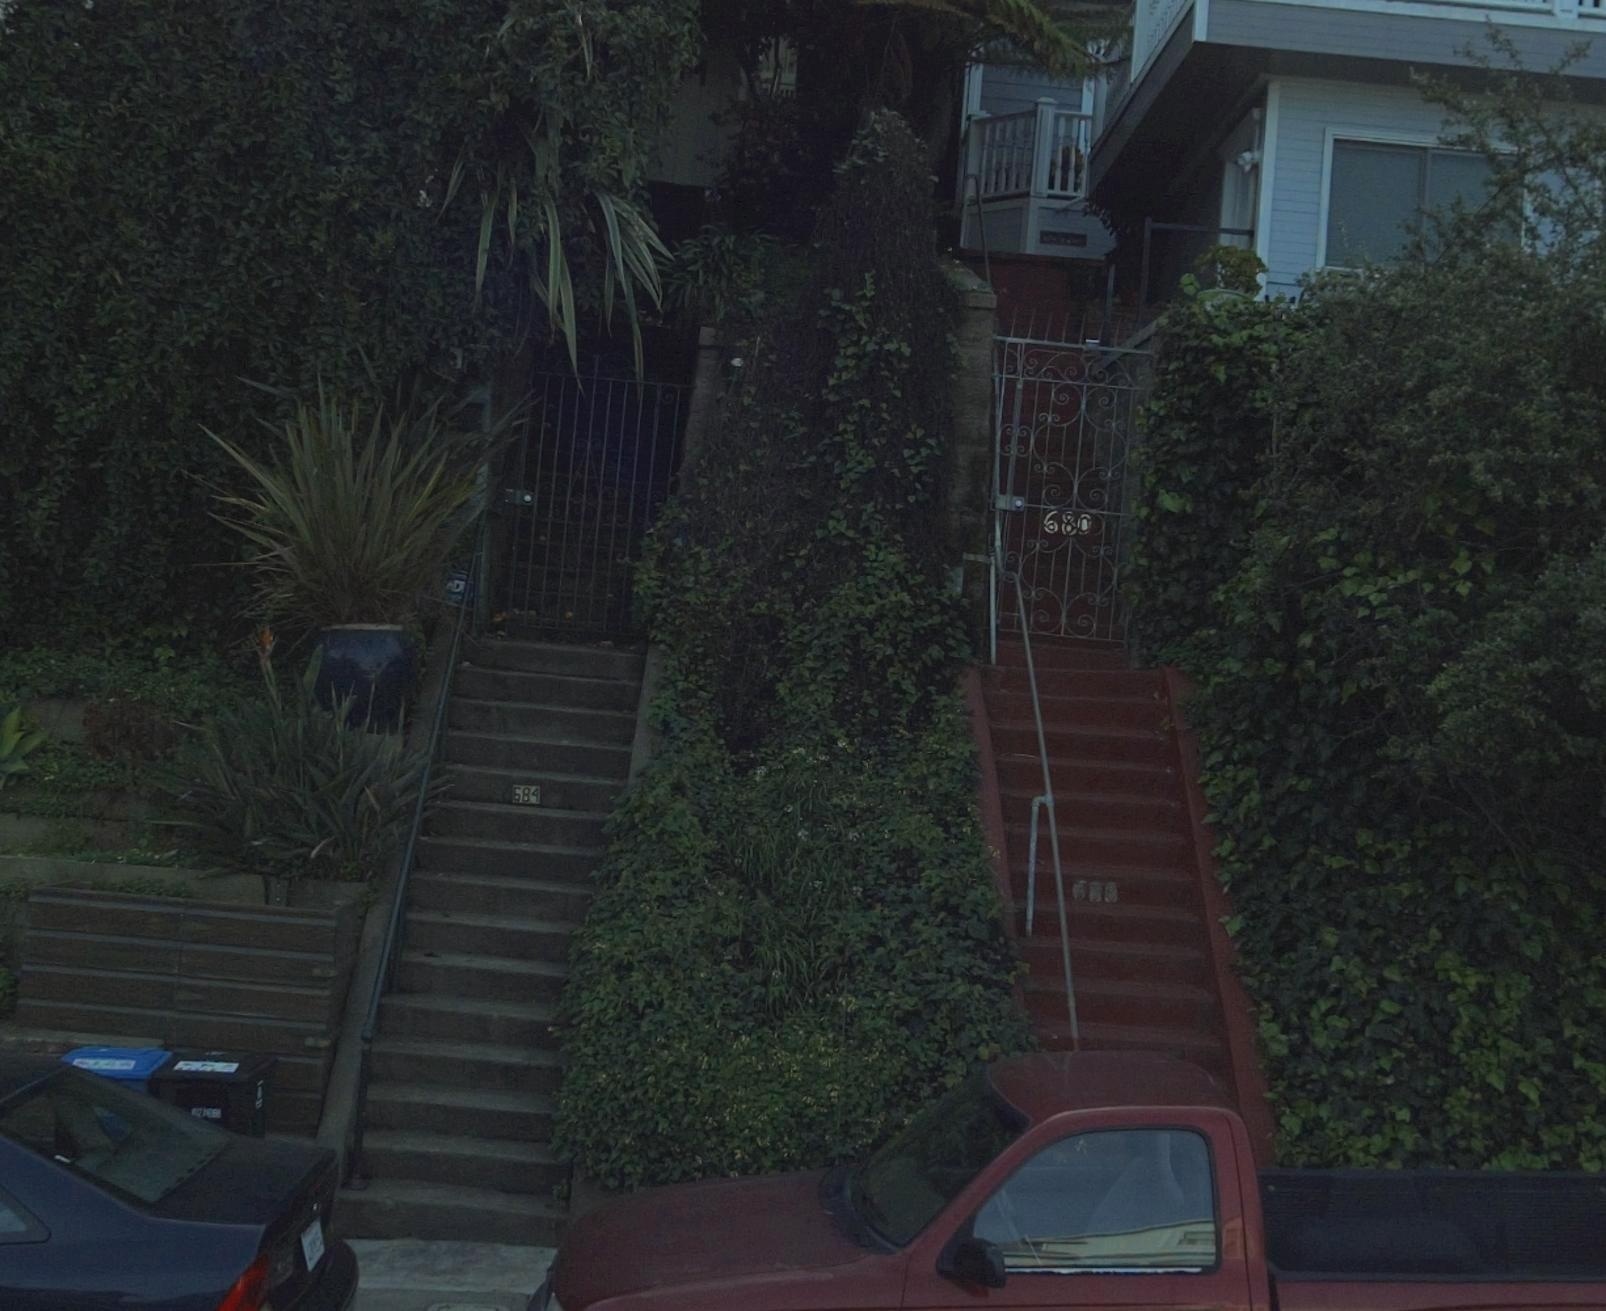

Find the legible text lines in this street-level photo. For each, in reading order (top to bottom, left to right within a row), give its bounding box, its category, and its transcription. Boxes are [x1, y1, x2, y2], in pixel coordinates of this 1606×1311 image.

[1042, 509, 1093, 536] StreetNumber: 680
[512, 786, 540, 802] StreetNumber: 684